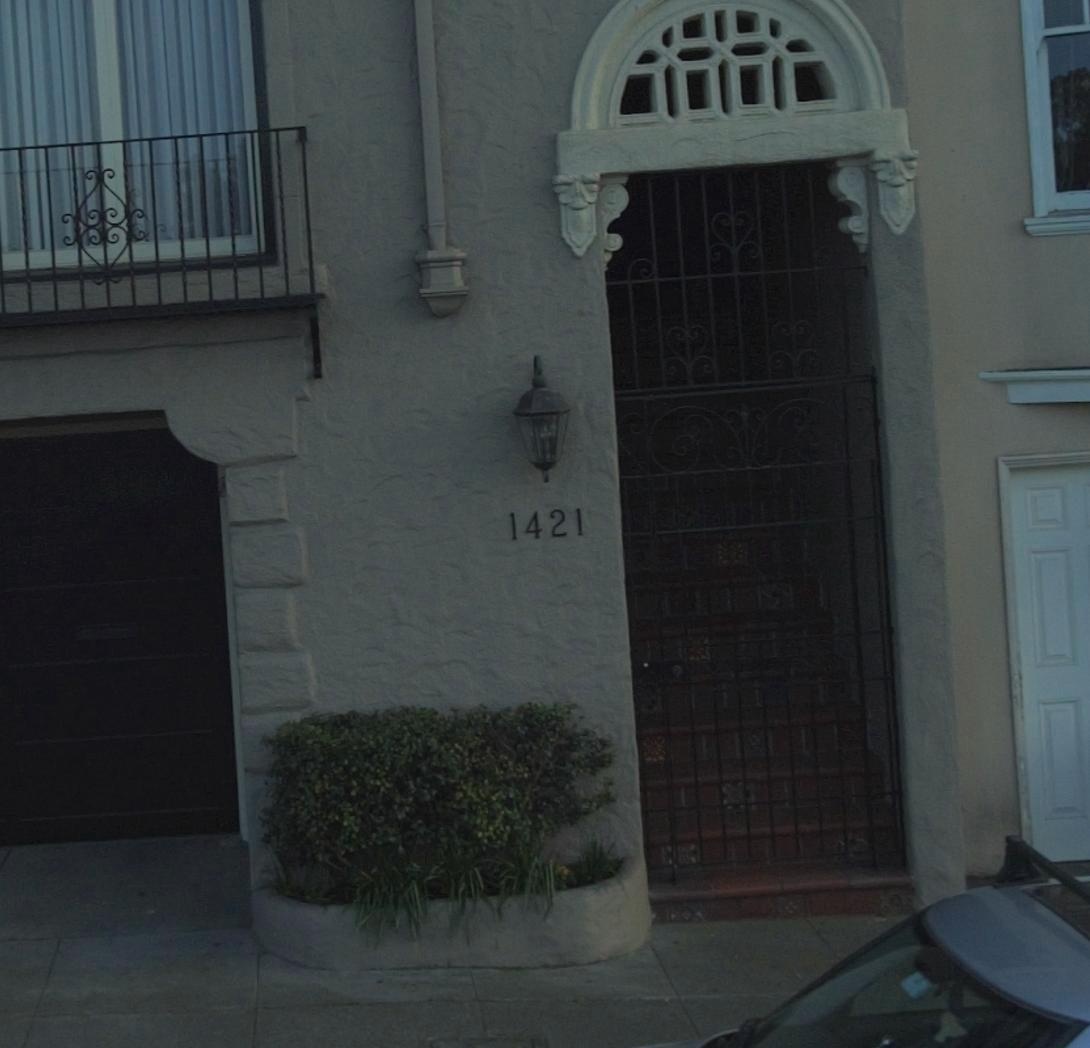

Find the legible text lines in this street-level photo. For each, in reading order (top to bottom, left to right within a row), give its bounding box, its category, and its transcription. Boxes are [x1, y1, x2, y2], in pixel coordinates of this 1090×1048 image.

[506, 504, 587, 546] StreetNumber: 1421